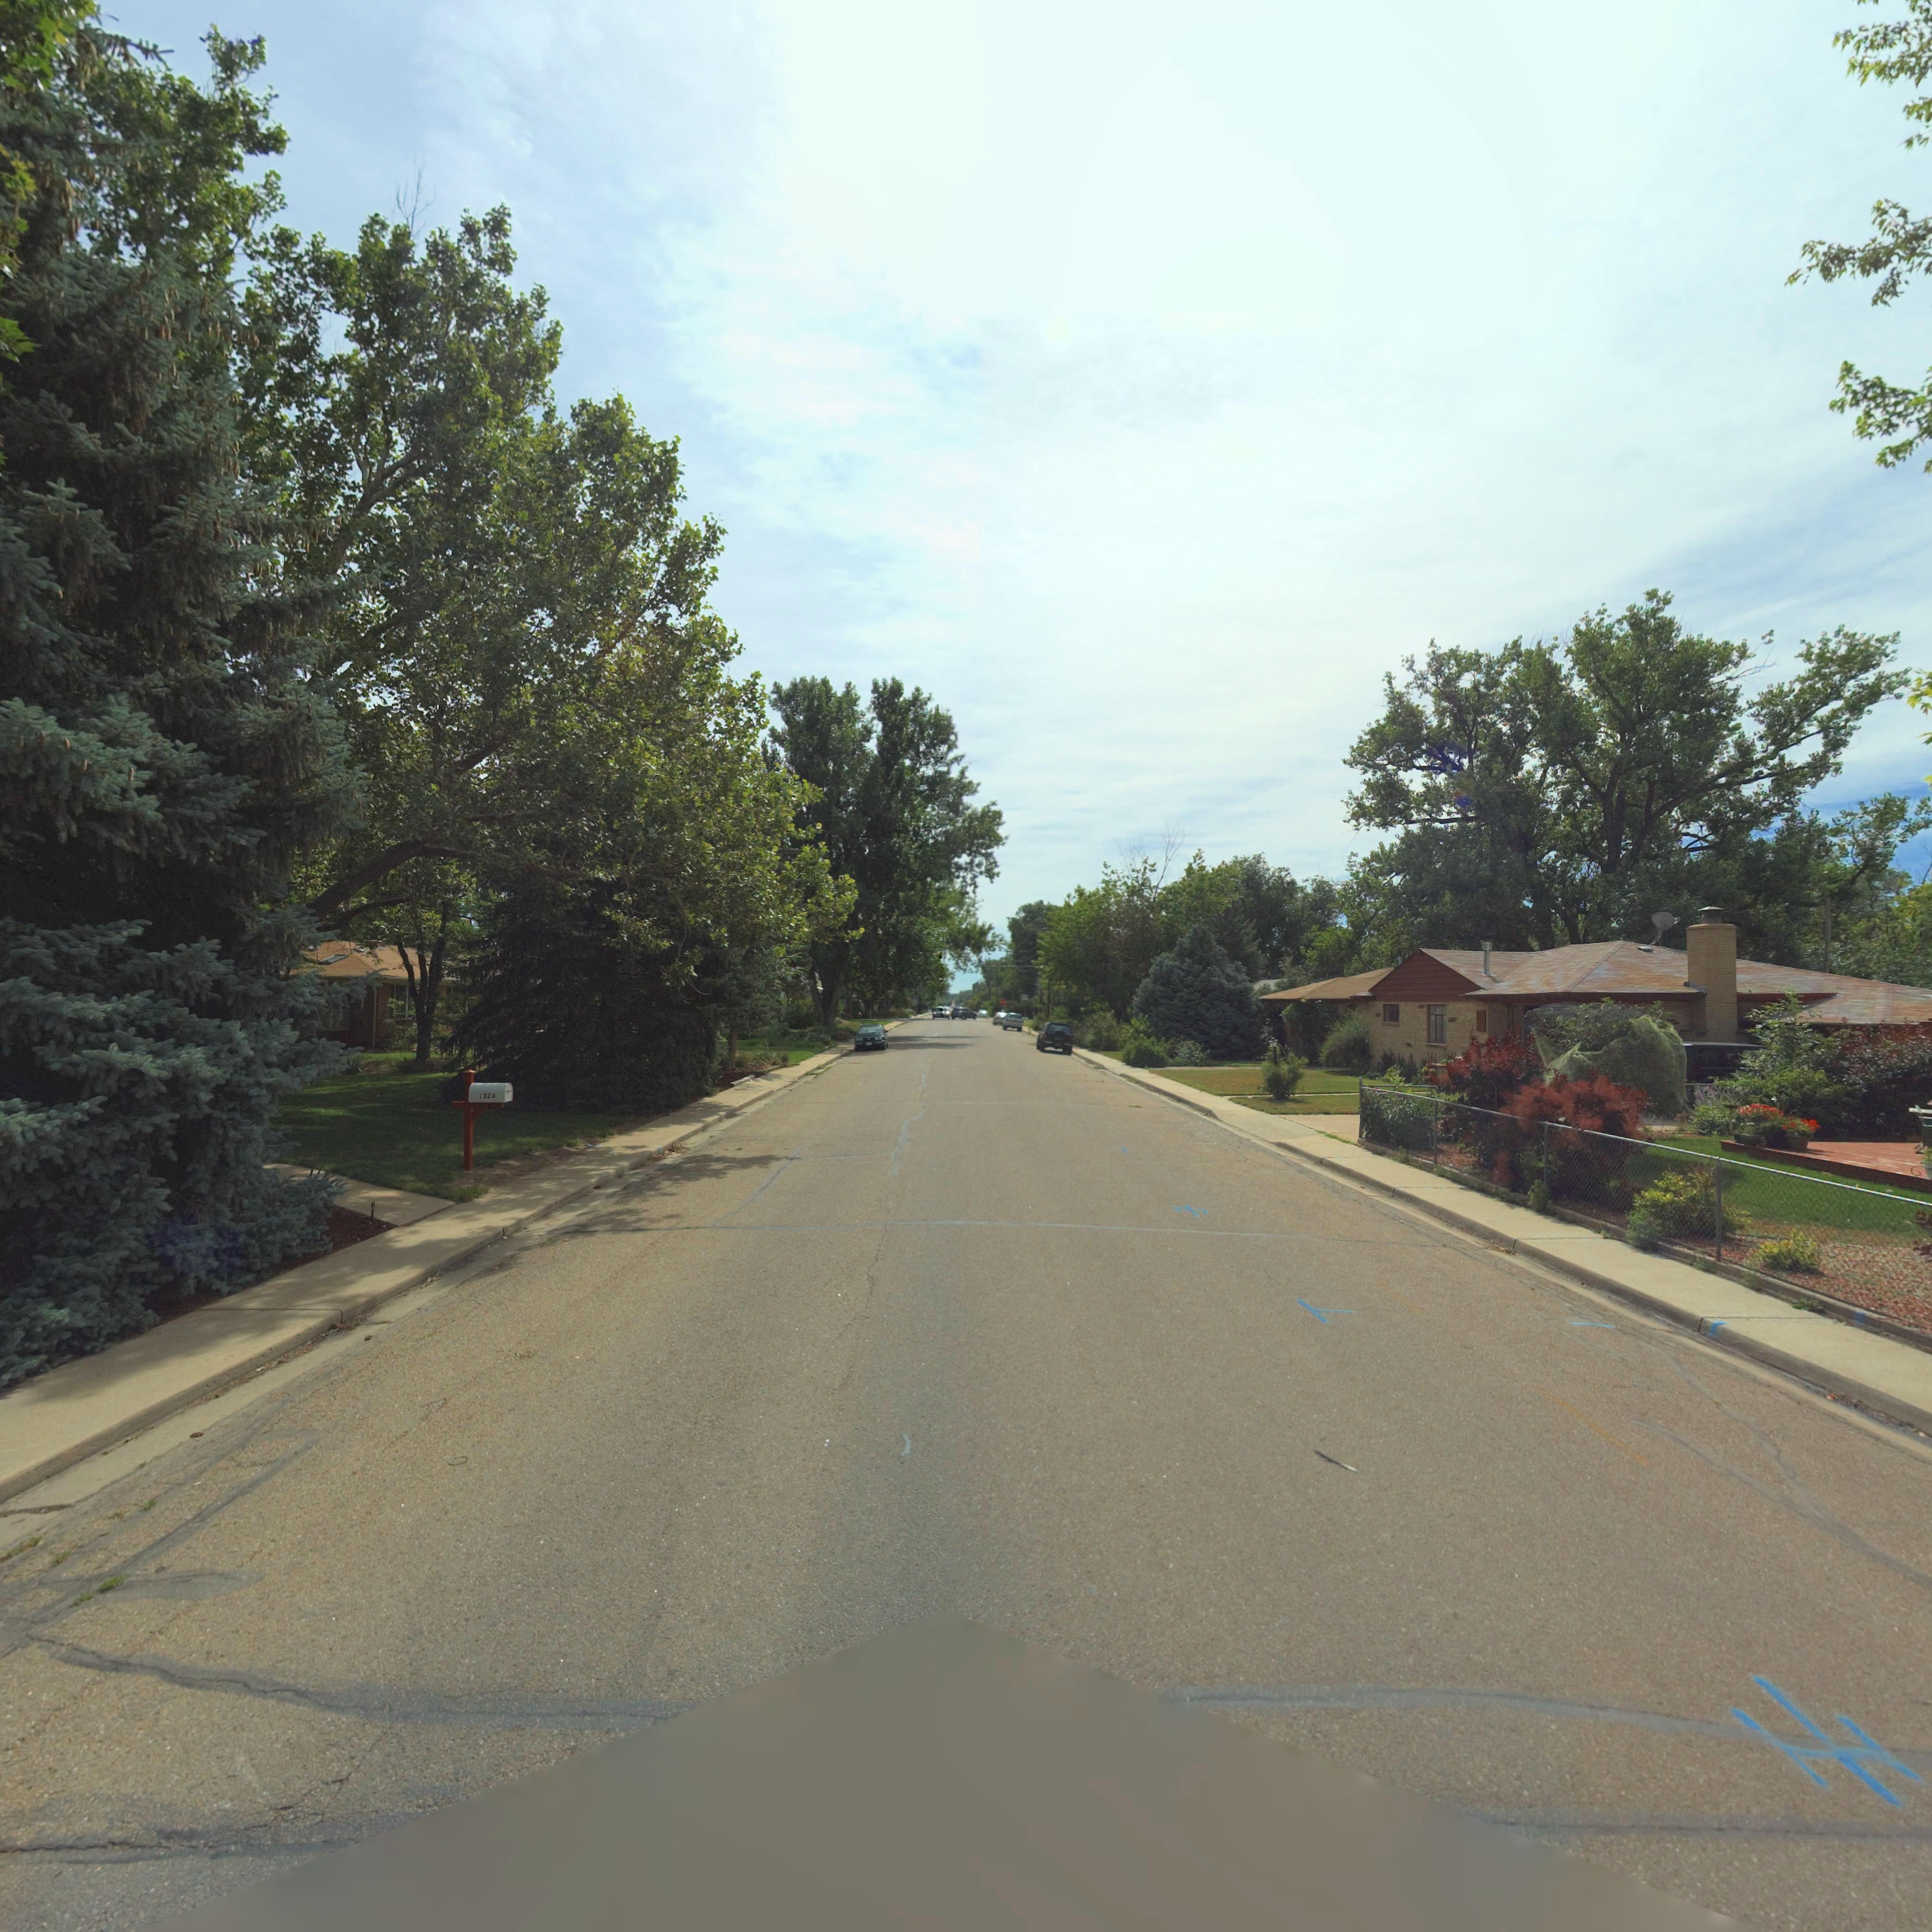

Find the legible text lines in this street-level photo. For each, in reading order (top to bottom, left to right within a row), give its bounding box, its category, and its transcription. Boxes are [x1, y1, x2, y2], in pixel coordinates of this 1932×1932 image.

[479, 1092, 495, 1099] StreetNumber: 1324